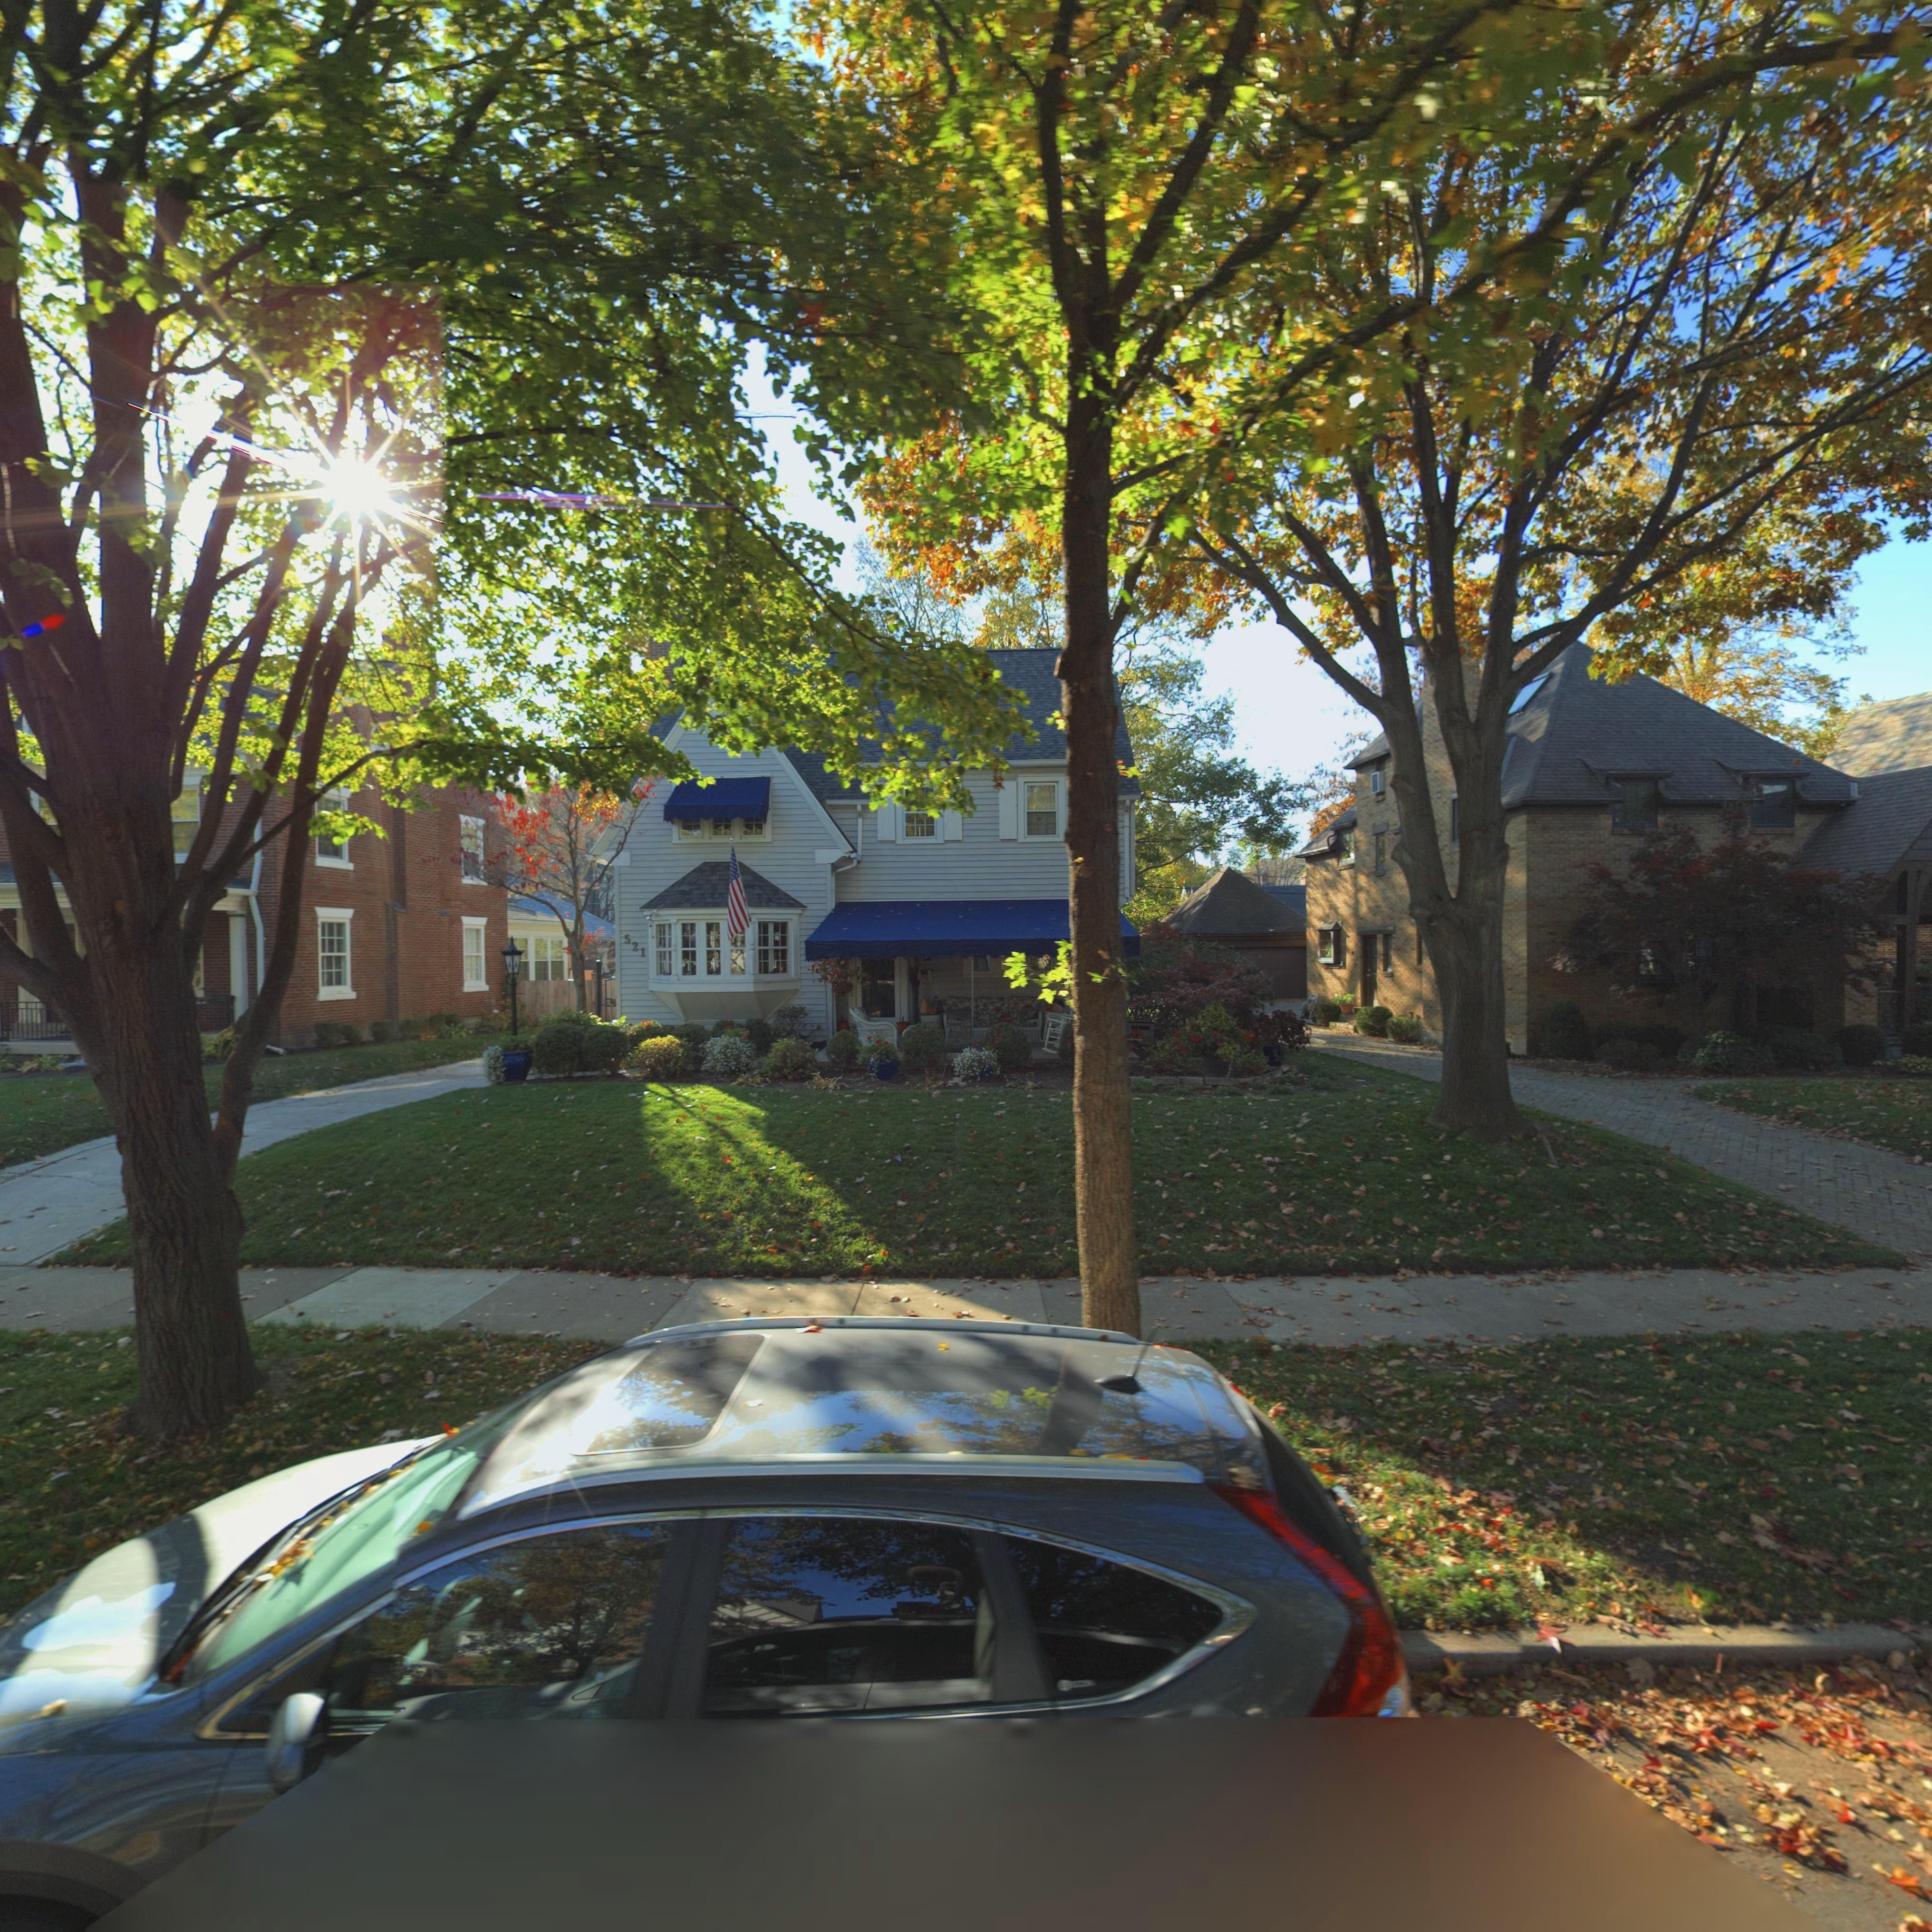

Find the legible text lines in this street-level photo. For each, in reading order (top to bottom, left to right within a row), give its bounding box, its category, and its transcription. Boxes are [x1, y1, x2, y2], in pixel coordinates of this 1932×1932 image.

[623, 933, 647, 959] StreetNumber: 521